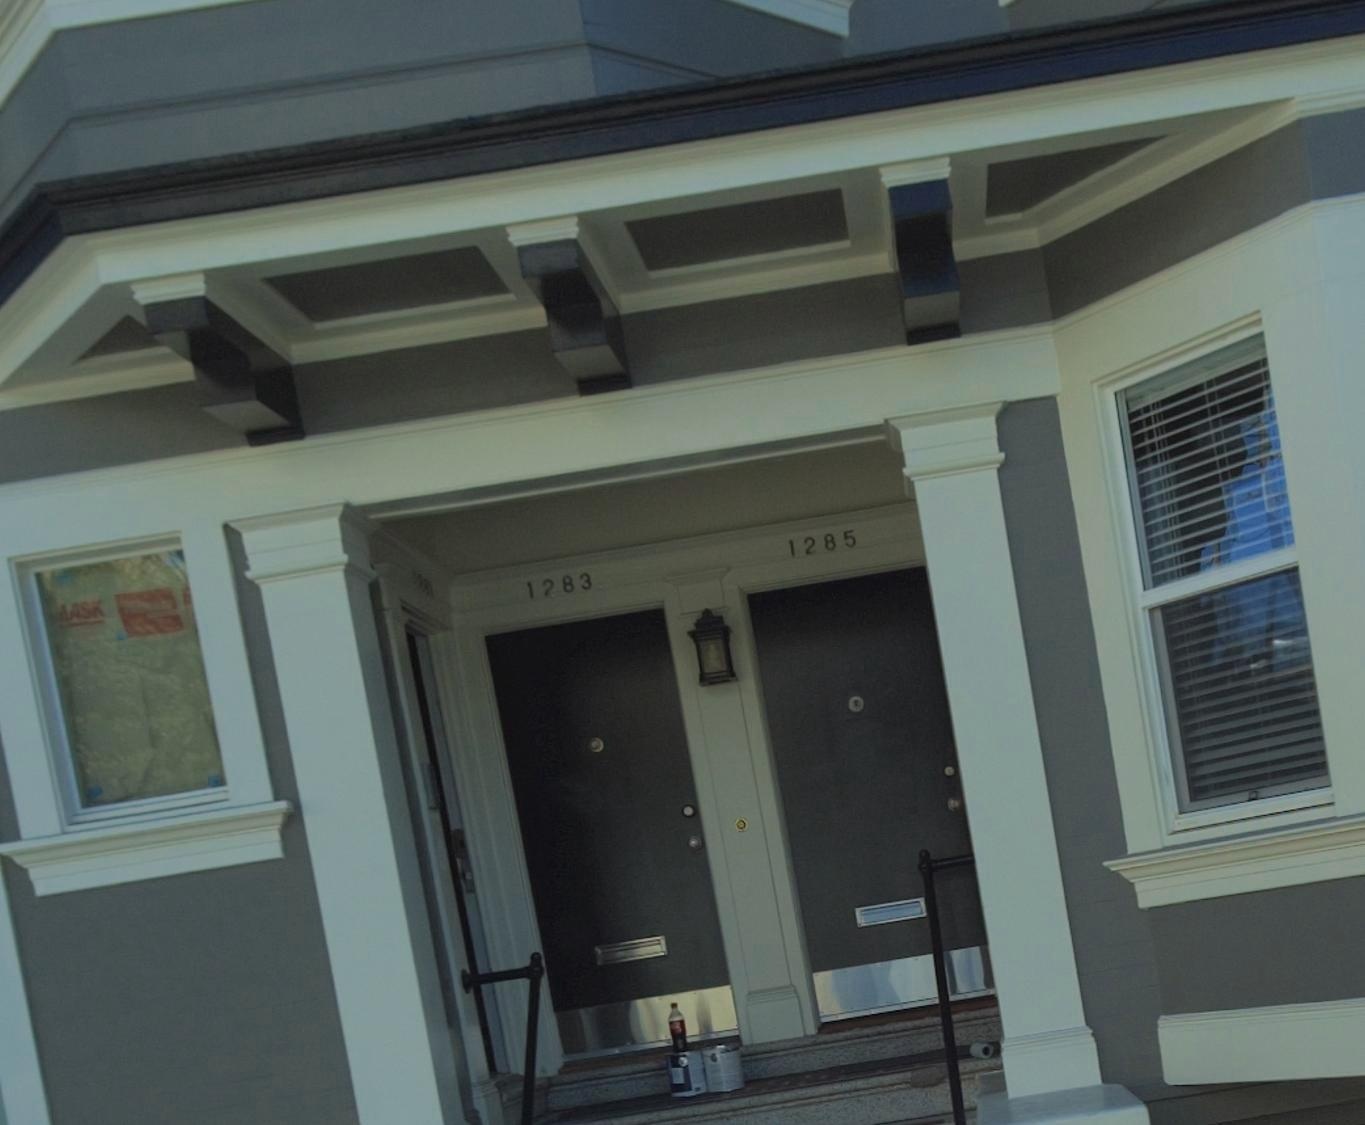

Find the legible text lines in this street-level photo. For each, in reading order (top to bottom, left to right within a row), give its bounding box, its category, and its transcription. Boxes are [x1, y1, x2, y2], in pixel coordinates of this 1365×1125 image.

[784, 526, 860, 561] StreetNumber: 1285
[521, 569, 597, 603] StreetNumber: 1283
[67, 597, 109, 622] None: ASK